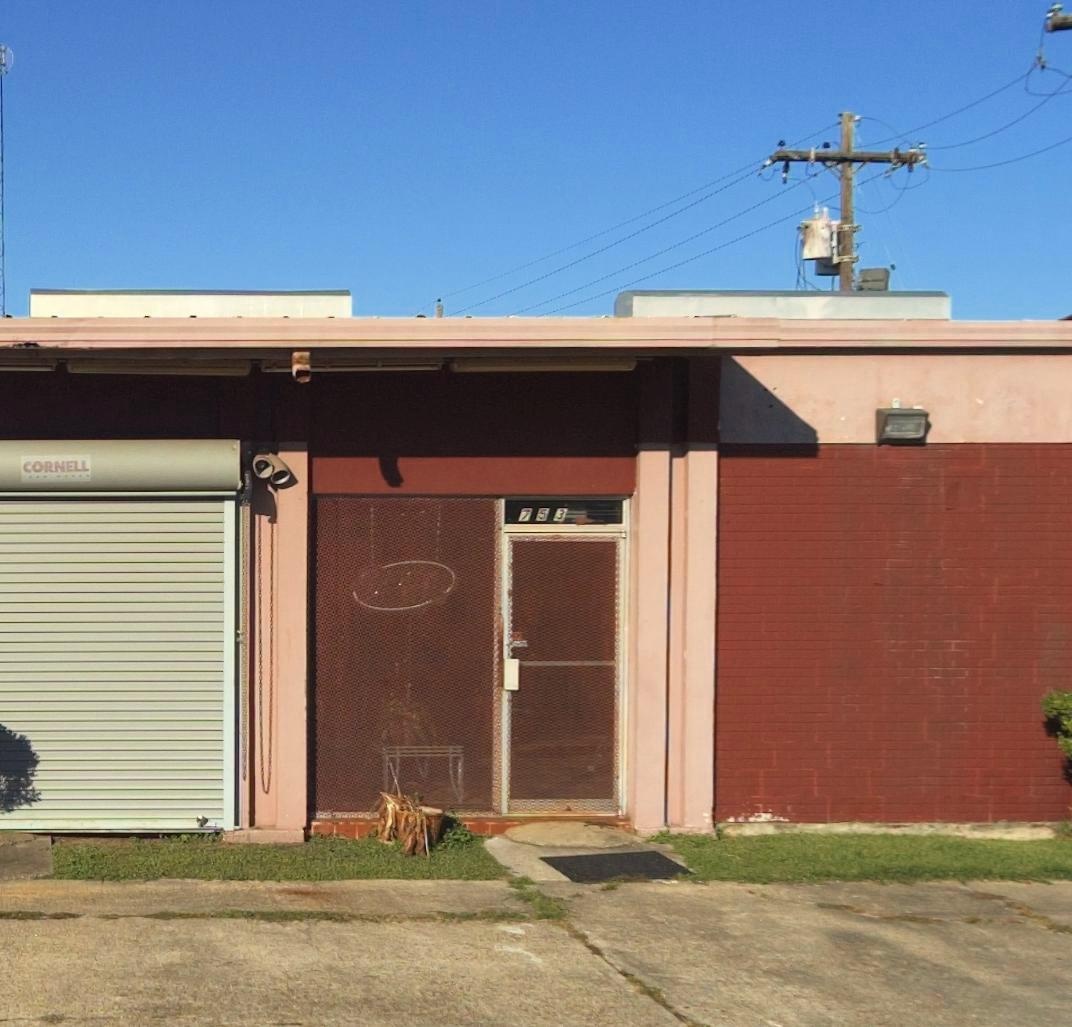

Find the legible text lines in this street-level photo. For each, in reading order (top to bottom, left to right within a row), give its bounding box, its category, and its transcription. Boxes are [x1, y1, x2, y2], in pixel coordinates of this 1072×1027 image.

[21, 458, 91, 475] None: CORNELL
[518, 507, 567, 522] StreetNumber: 753